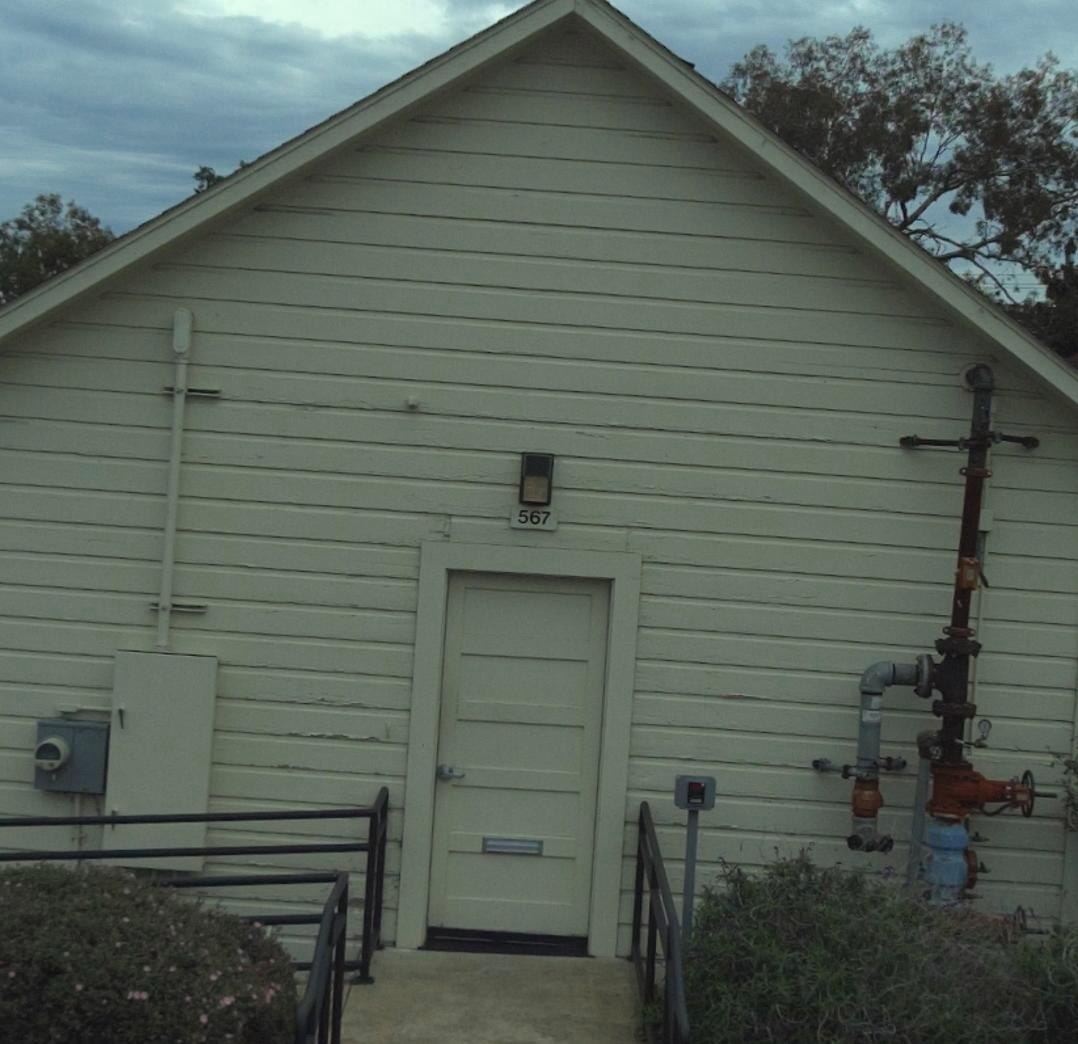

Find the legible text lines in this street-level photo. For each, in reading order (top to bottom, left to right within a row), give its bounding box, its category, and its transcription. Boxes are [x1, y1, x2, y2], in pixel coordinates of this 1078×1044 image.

[518, 509, 551, 525] StreetNumber: 567